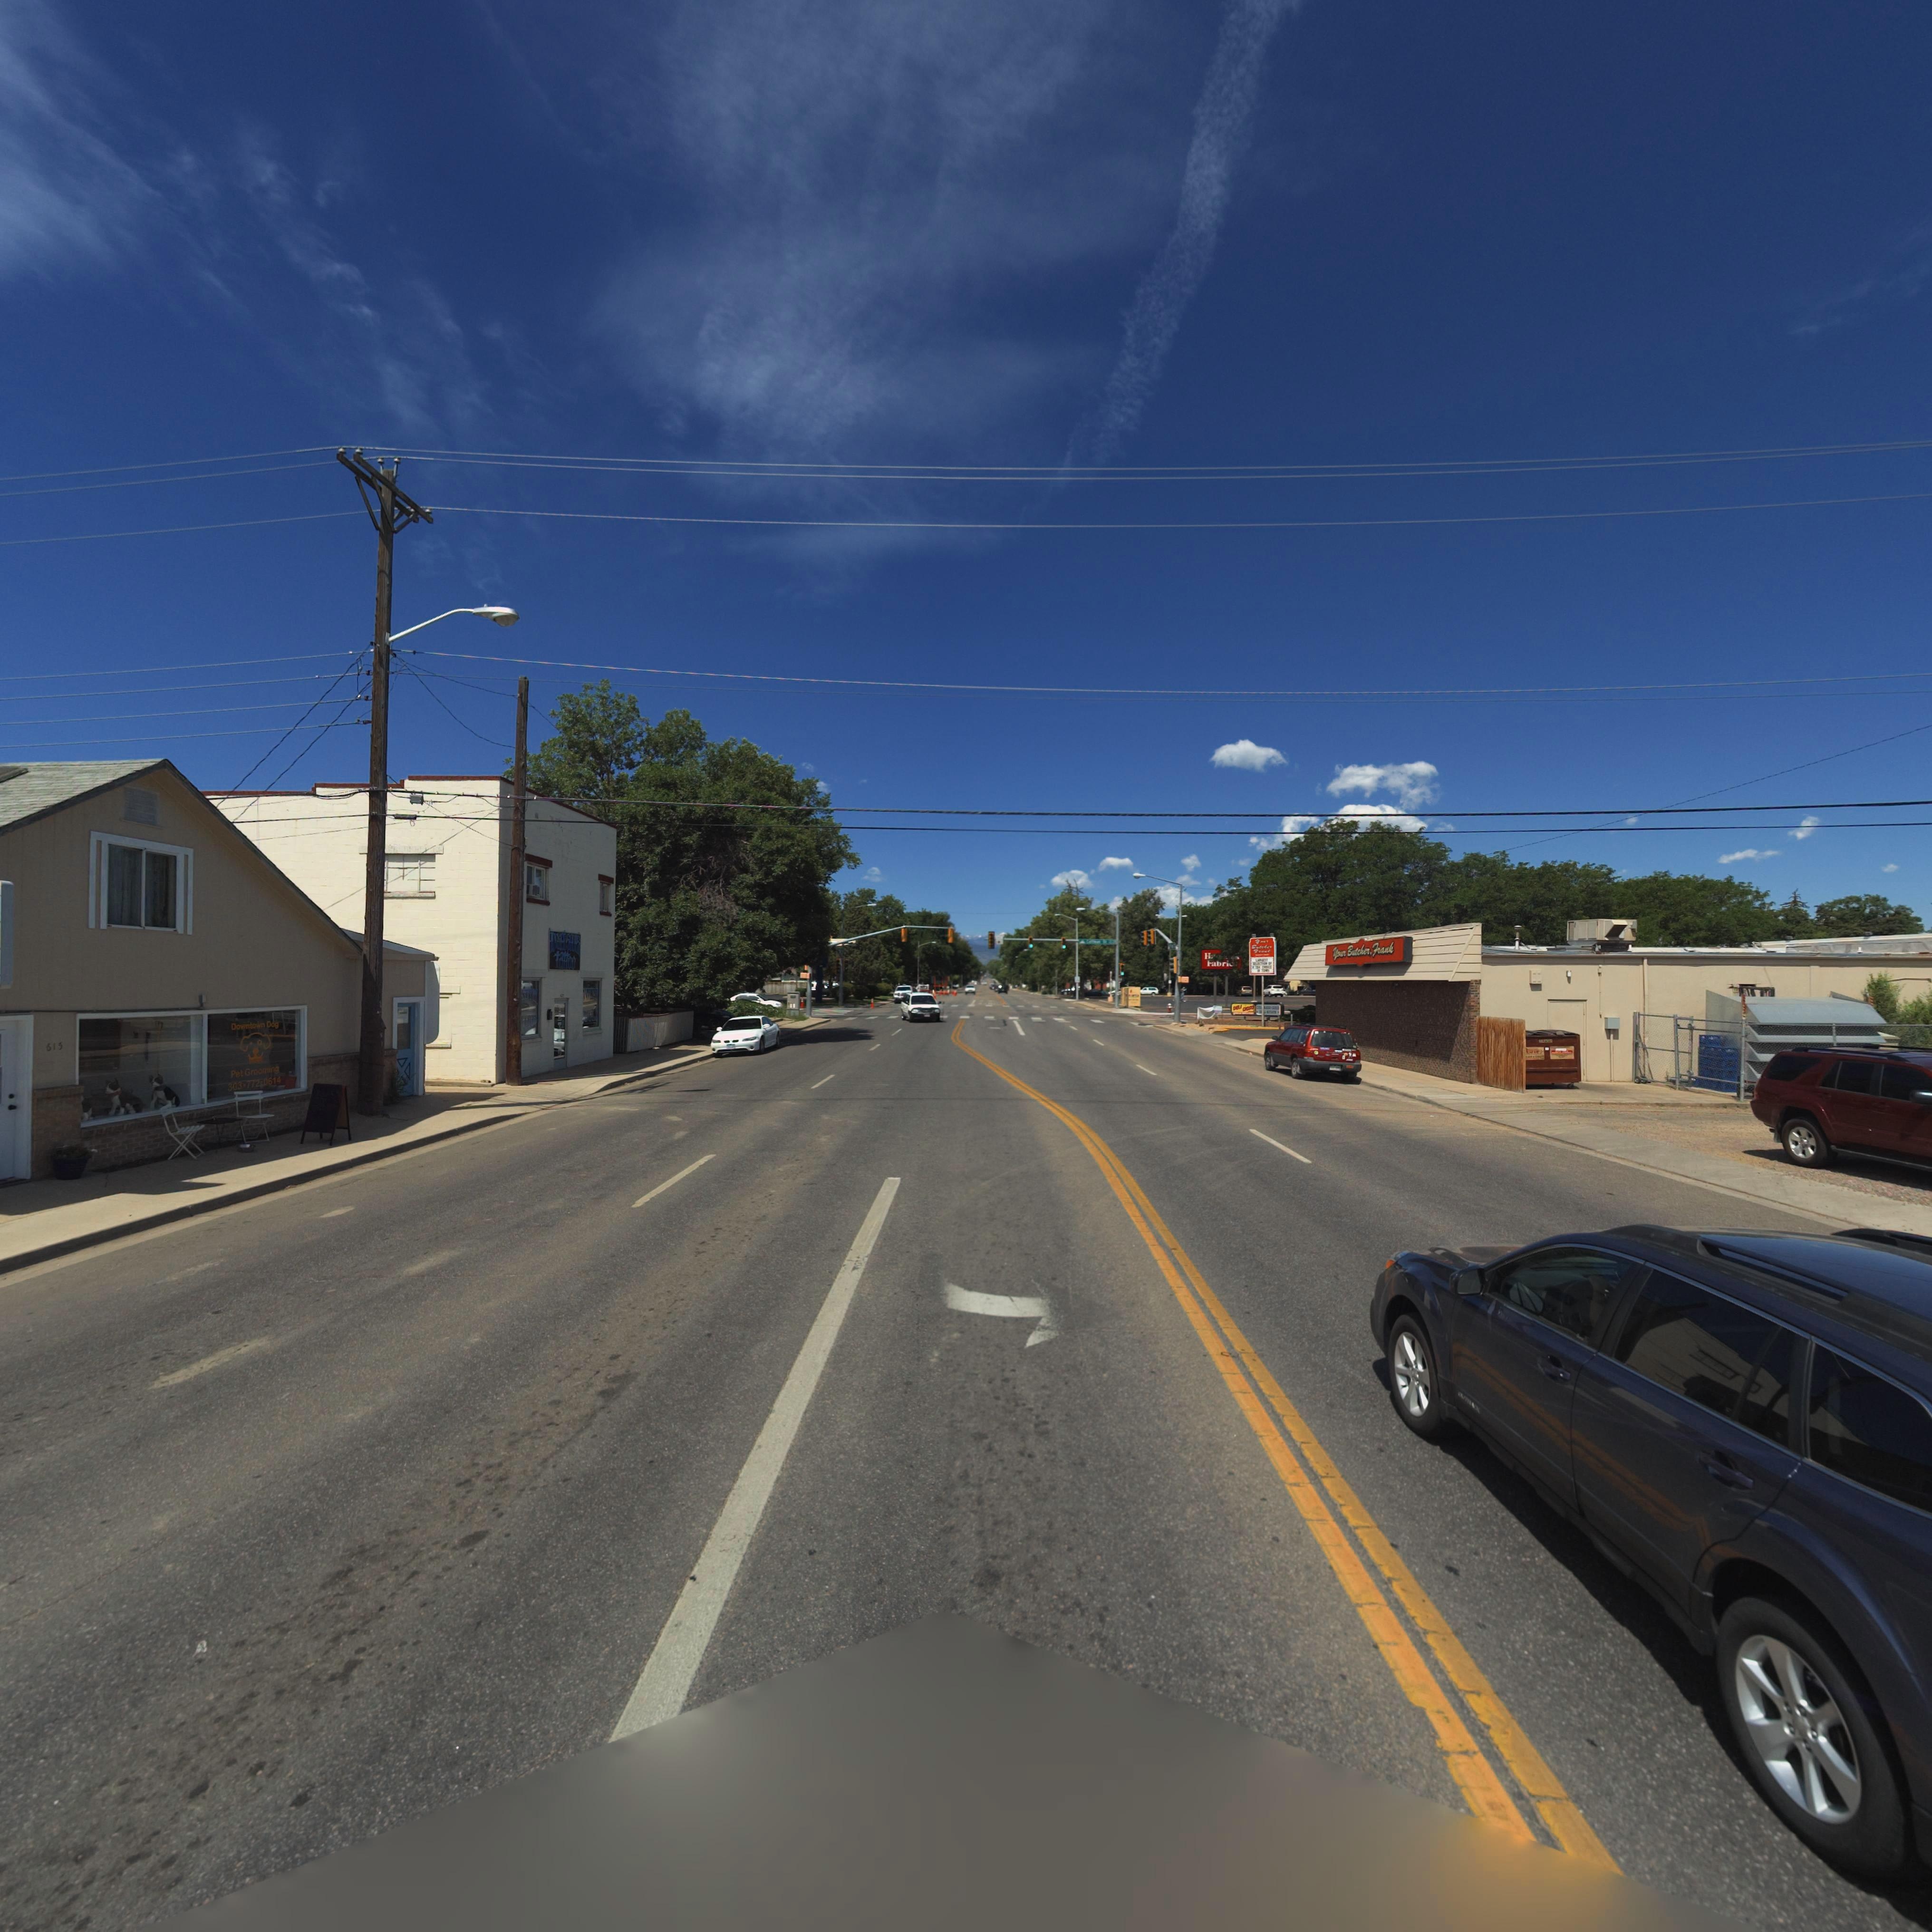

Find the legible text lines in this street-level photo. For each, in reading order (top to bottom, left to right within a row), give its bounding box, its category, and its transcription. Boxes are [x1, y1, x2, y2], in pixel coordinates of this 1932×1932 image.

[550, 931, 580, 956] BusinessName: I*********
[553, 950, 576, 970] BusinessName: TaTTOO
[1204, 952, 1211, 959] BusinessName: H
[1207, 959, 1234, 967] BusinessName: ***ri*
[1332, 940, 1395, 961] BusinessName: Y*** B**ch**, Frank
[1233, 1004, 1242, 1011] BusinessName: D**I
[1242, 1005, 1255, 1012] BusinessName: ****O
[230, 1020, 280, 1031] BusinessName: Do***o** Dog
[45, 1040, 63, 1052] StreetNumber: 615
[231, 1065, 279, 1079] BusinessName: Pet Groo***g